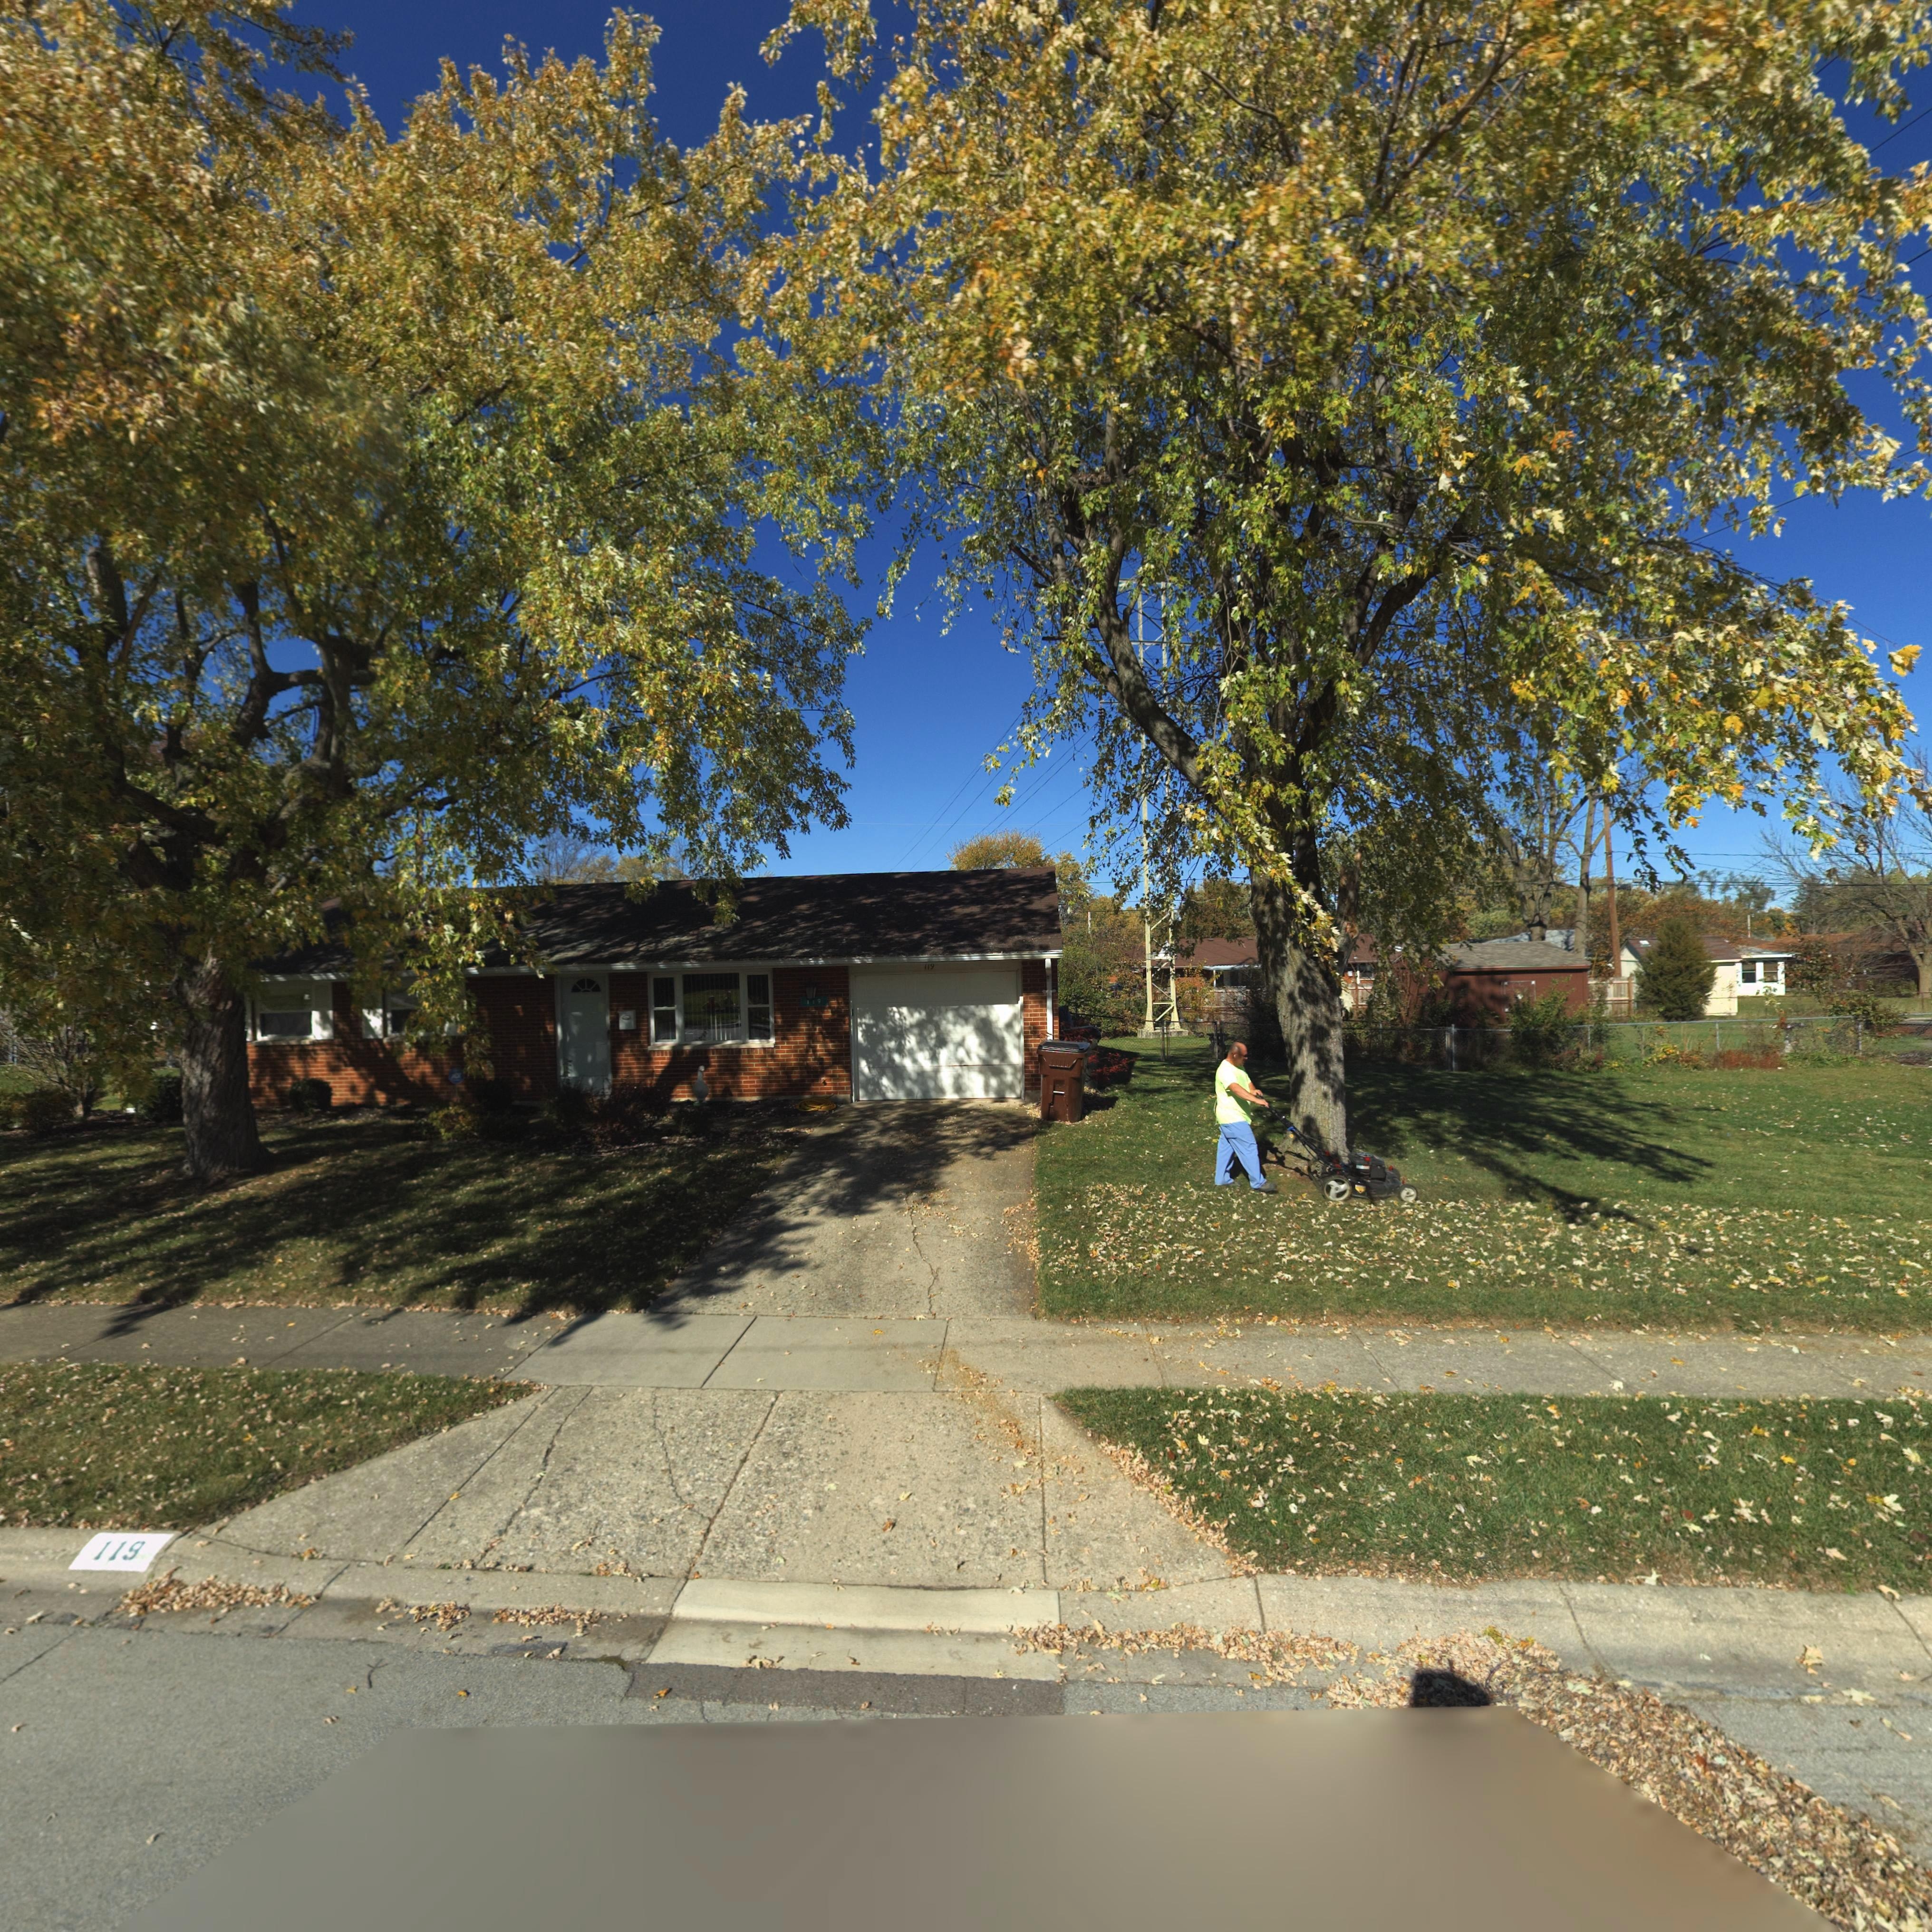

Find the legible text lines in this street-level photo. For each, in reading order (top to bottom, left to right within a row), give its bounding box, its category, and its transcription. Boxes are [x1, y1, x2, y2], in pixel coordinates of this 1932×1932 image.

[924, 963, 936, 971] StreetNumber: 119
[806, 998, 822, 1005] StreetNumber: 1*9
[91, 1539, 147, 1562] StreetNumber: 119